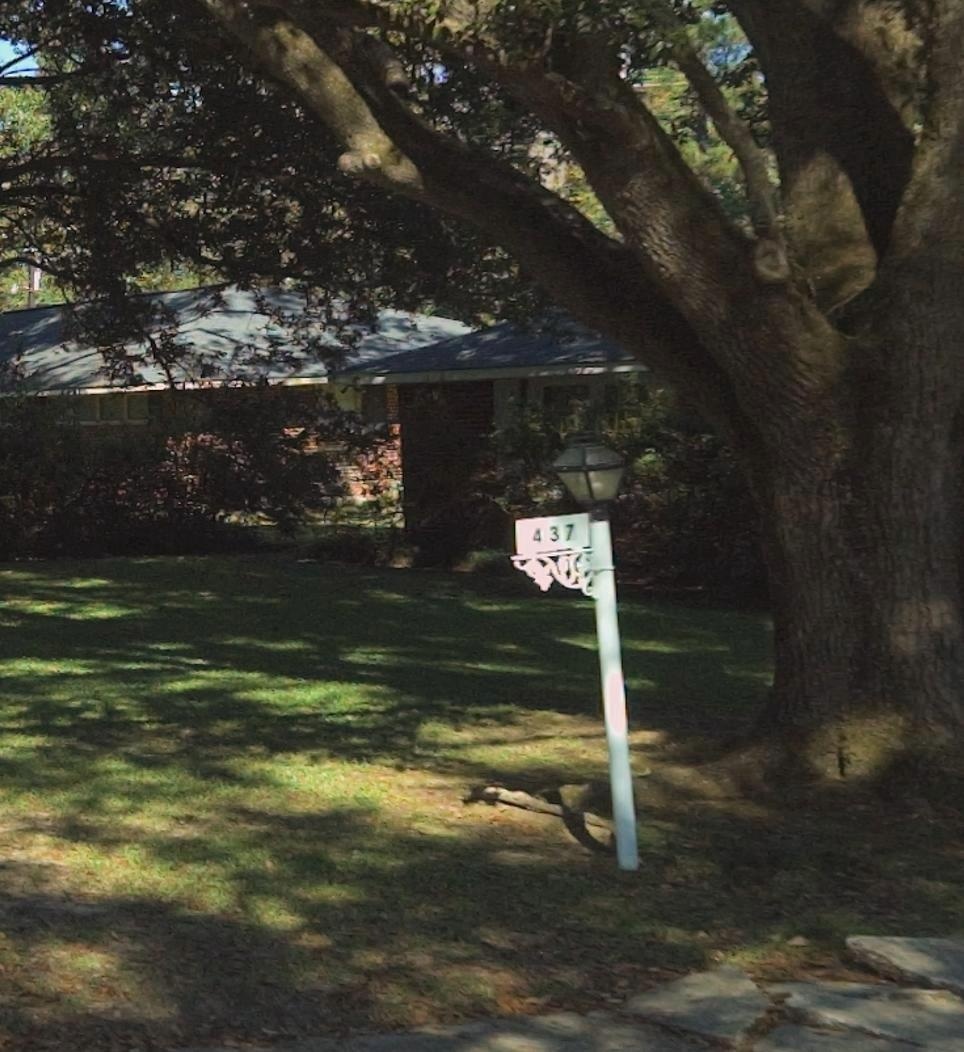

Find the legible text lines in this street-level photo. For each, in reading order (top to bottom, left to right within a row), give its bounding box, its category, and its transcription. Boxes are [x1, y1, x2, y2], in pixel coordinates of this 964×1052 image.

[530, 521, 577, 545] StreetNumber: 437